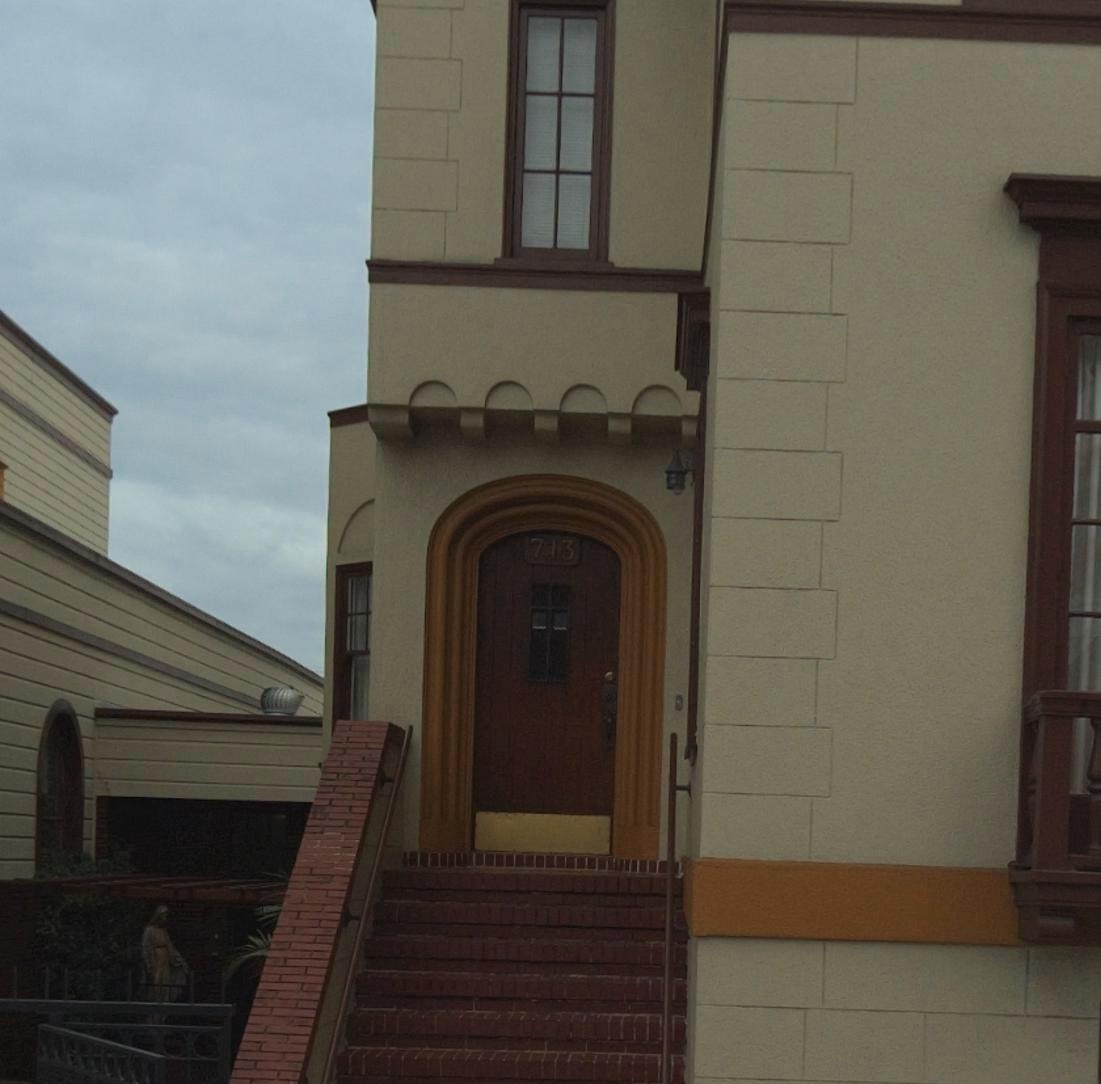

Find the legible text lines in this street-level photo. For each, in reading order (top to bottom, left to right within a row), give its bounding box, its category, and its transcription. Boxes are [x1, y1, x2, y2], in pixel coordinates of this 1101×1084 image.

[529, 536, 576, 561] StreetNumber: 713